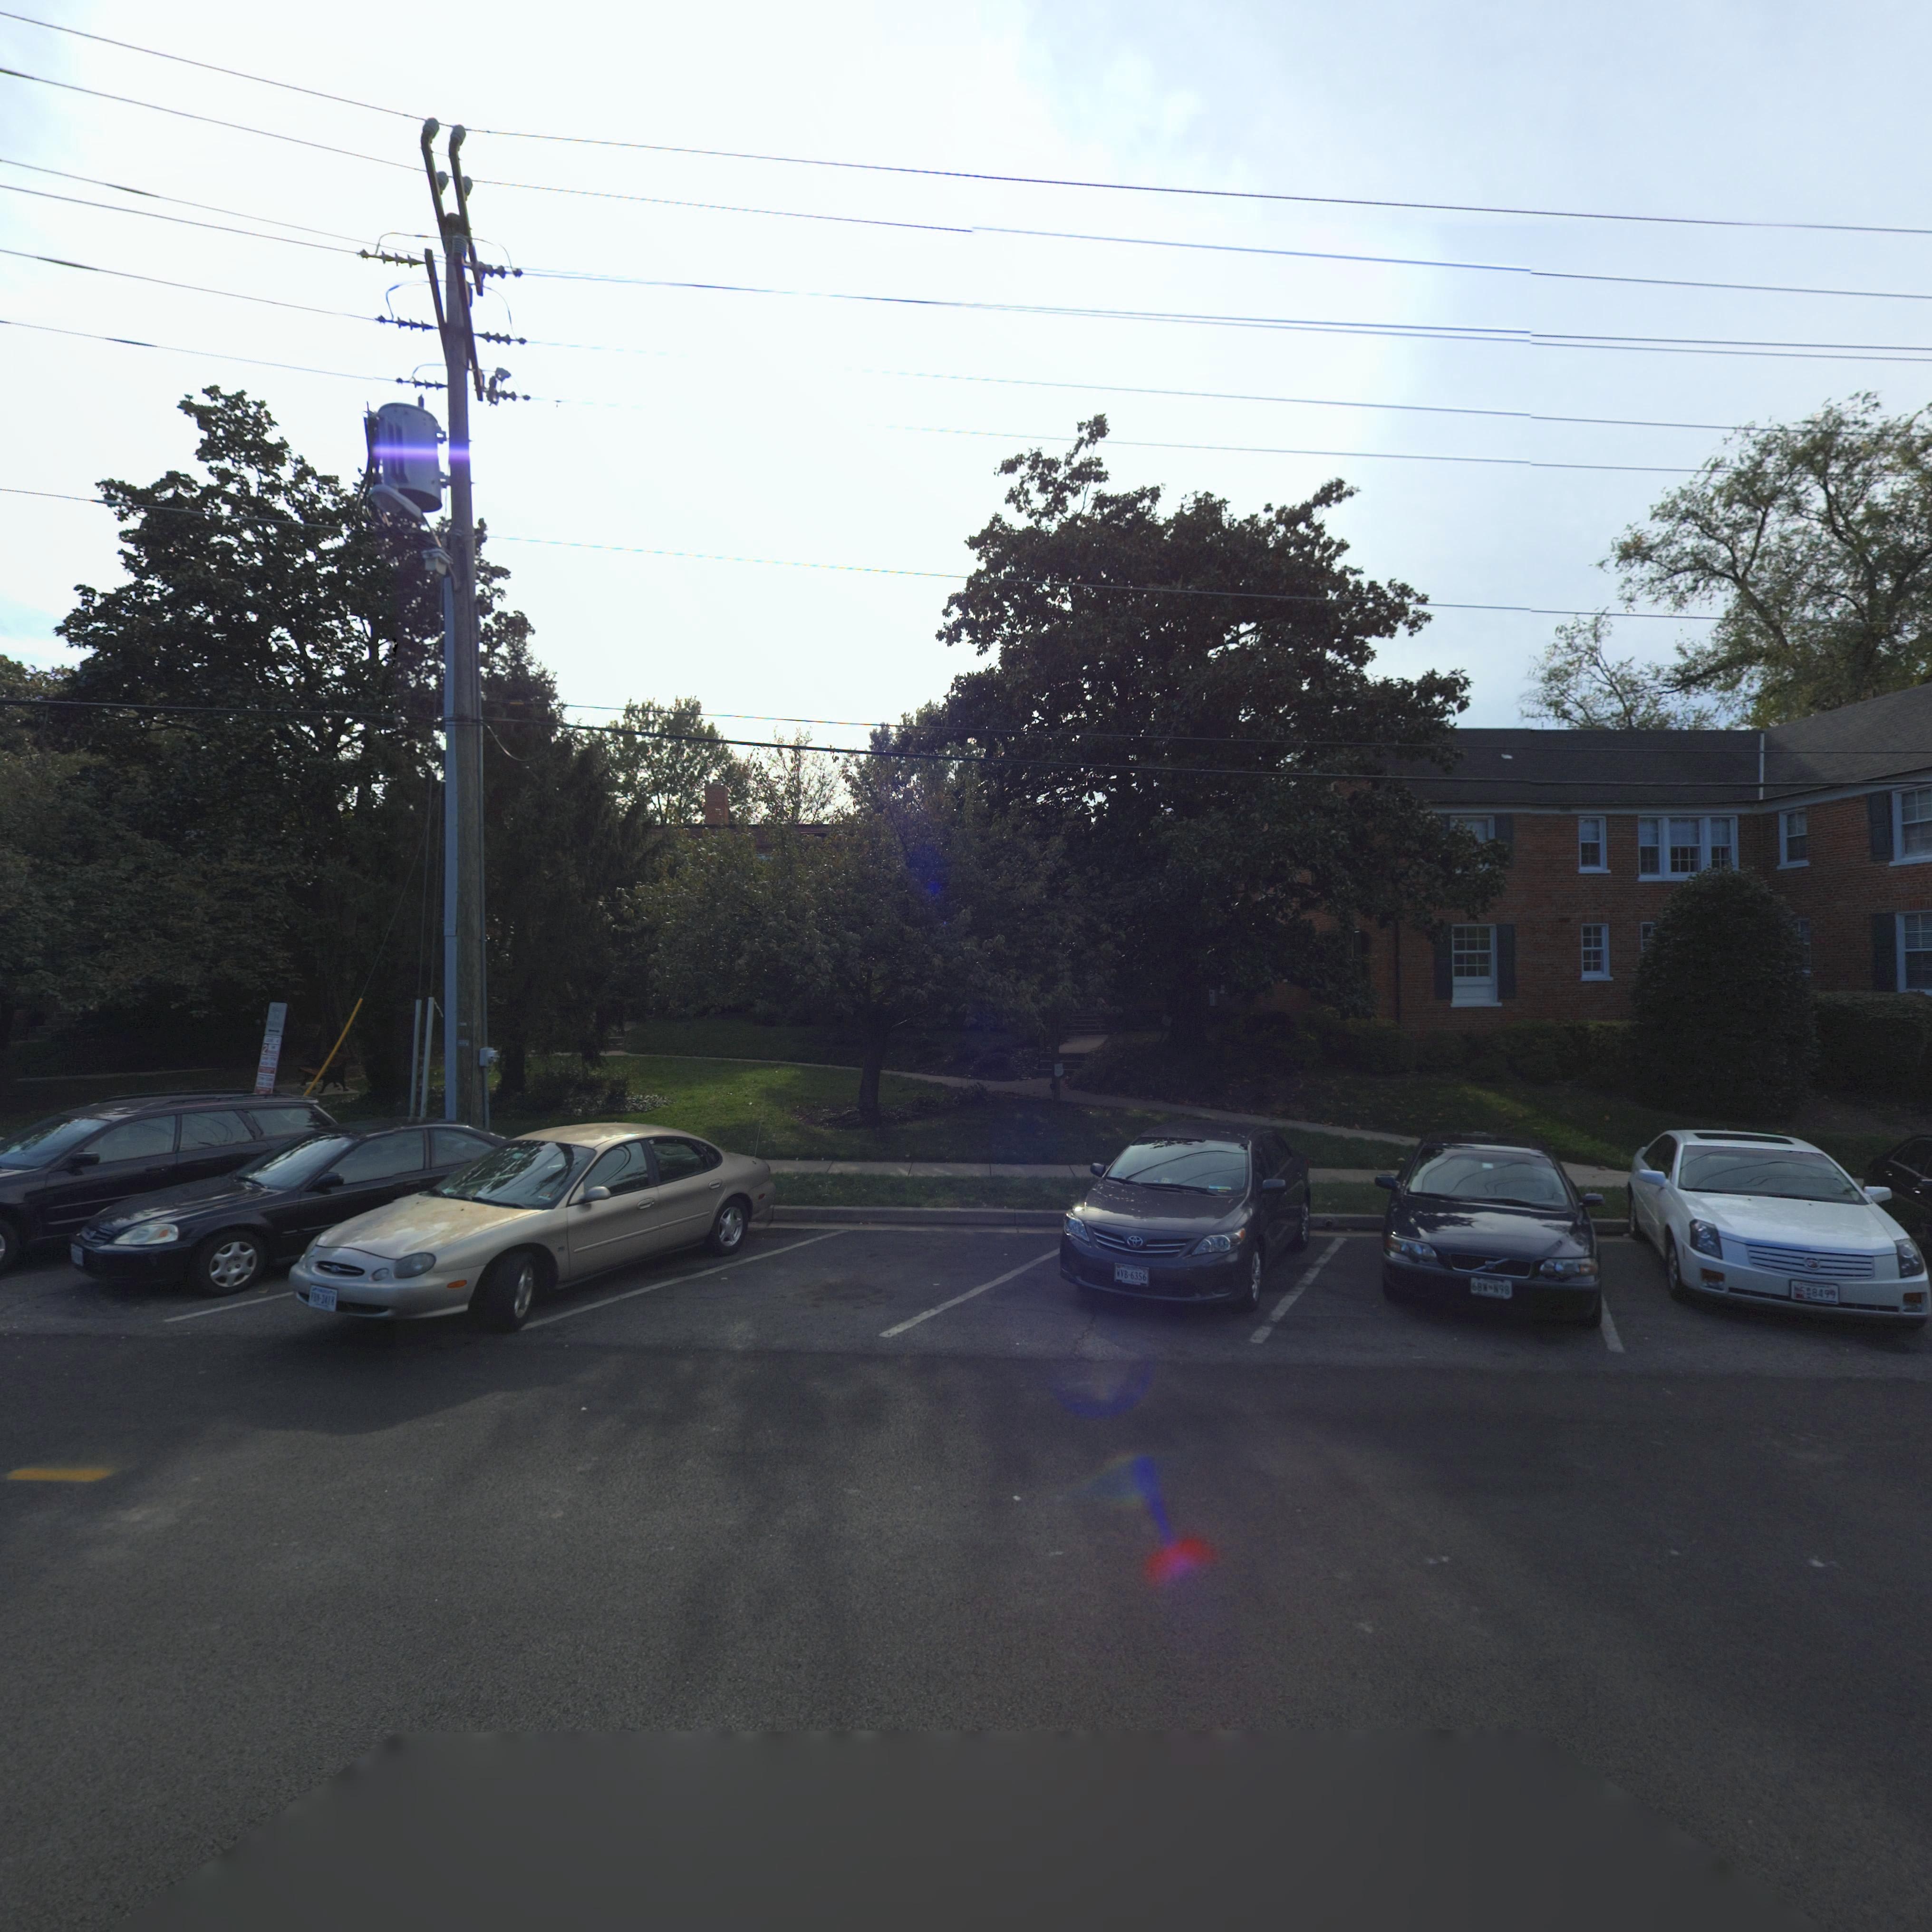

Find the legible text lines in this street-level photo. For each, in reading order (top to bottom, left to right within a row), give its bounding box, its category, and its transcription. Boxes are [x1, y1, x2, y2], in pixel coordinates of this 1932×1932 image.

[261, 1044, 269, 1055] None: 2
[1116, 1268, 1147, 1282] None: MVB*6356
[1471, 1281, 1510, 1296] None: 68**N98
[1812, 1287, 1836, 1299] None: 8499
[321, 1294, 336, 1307] None: 2418